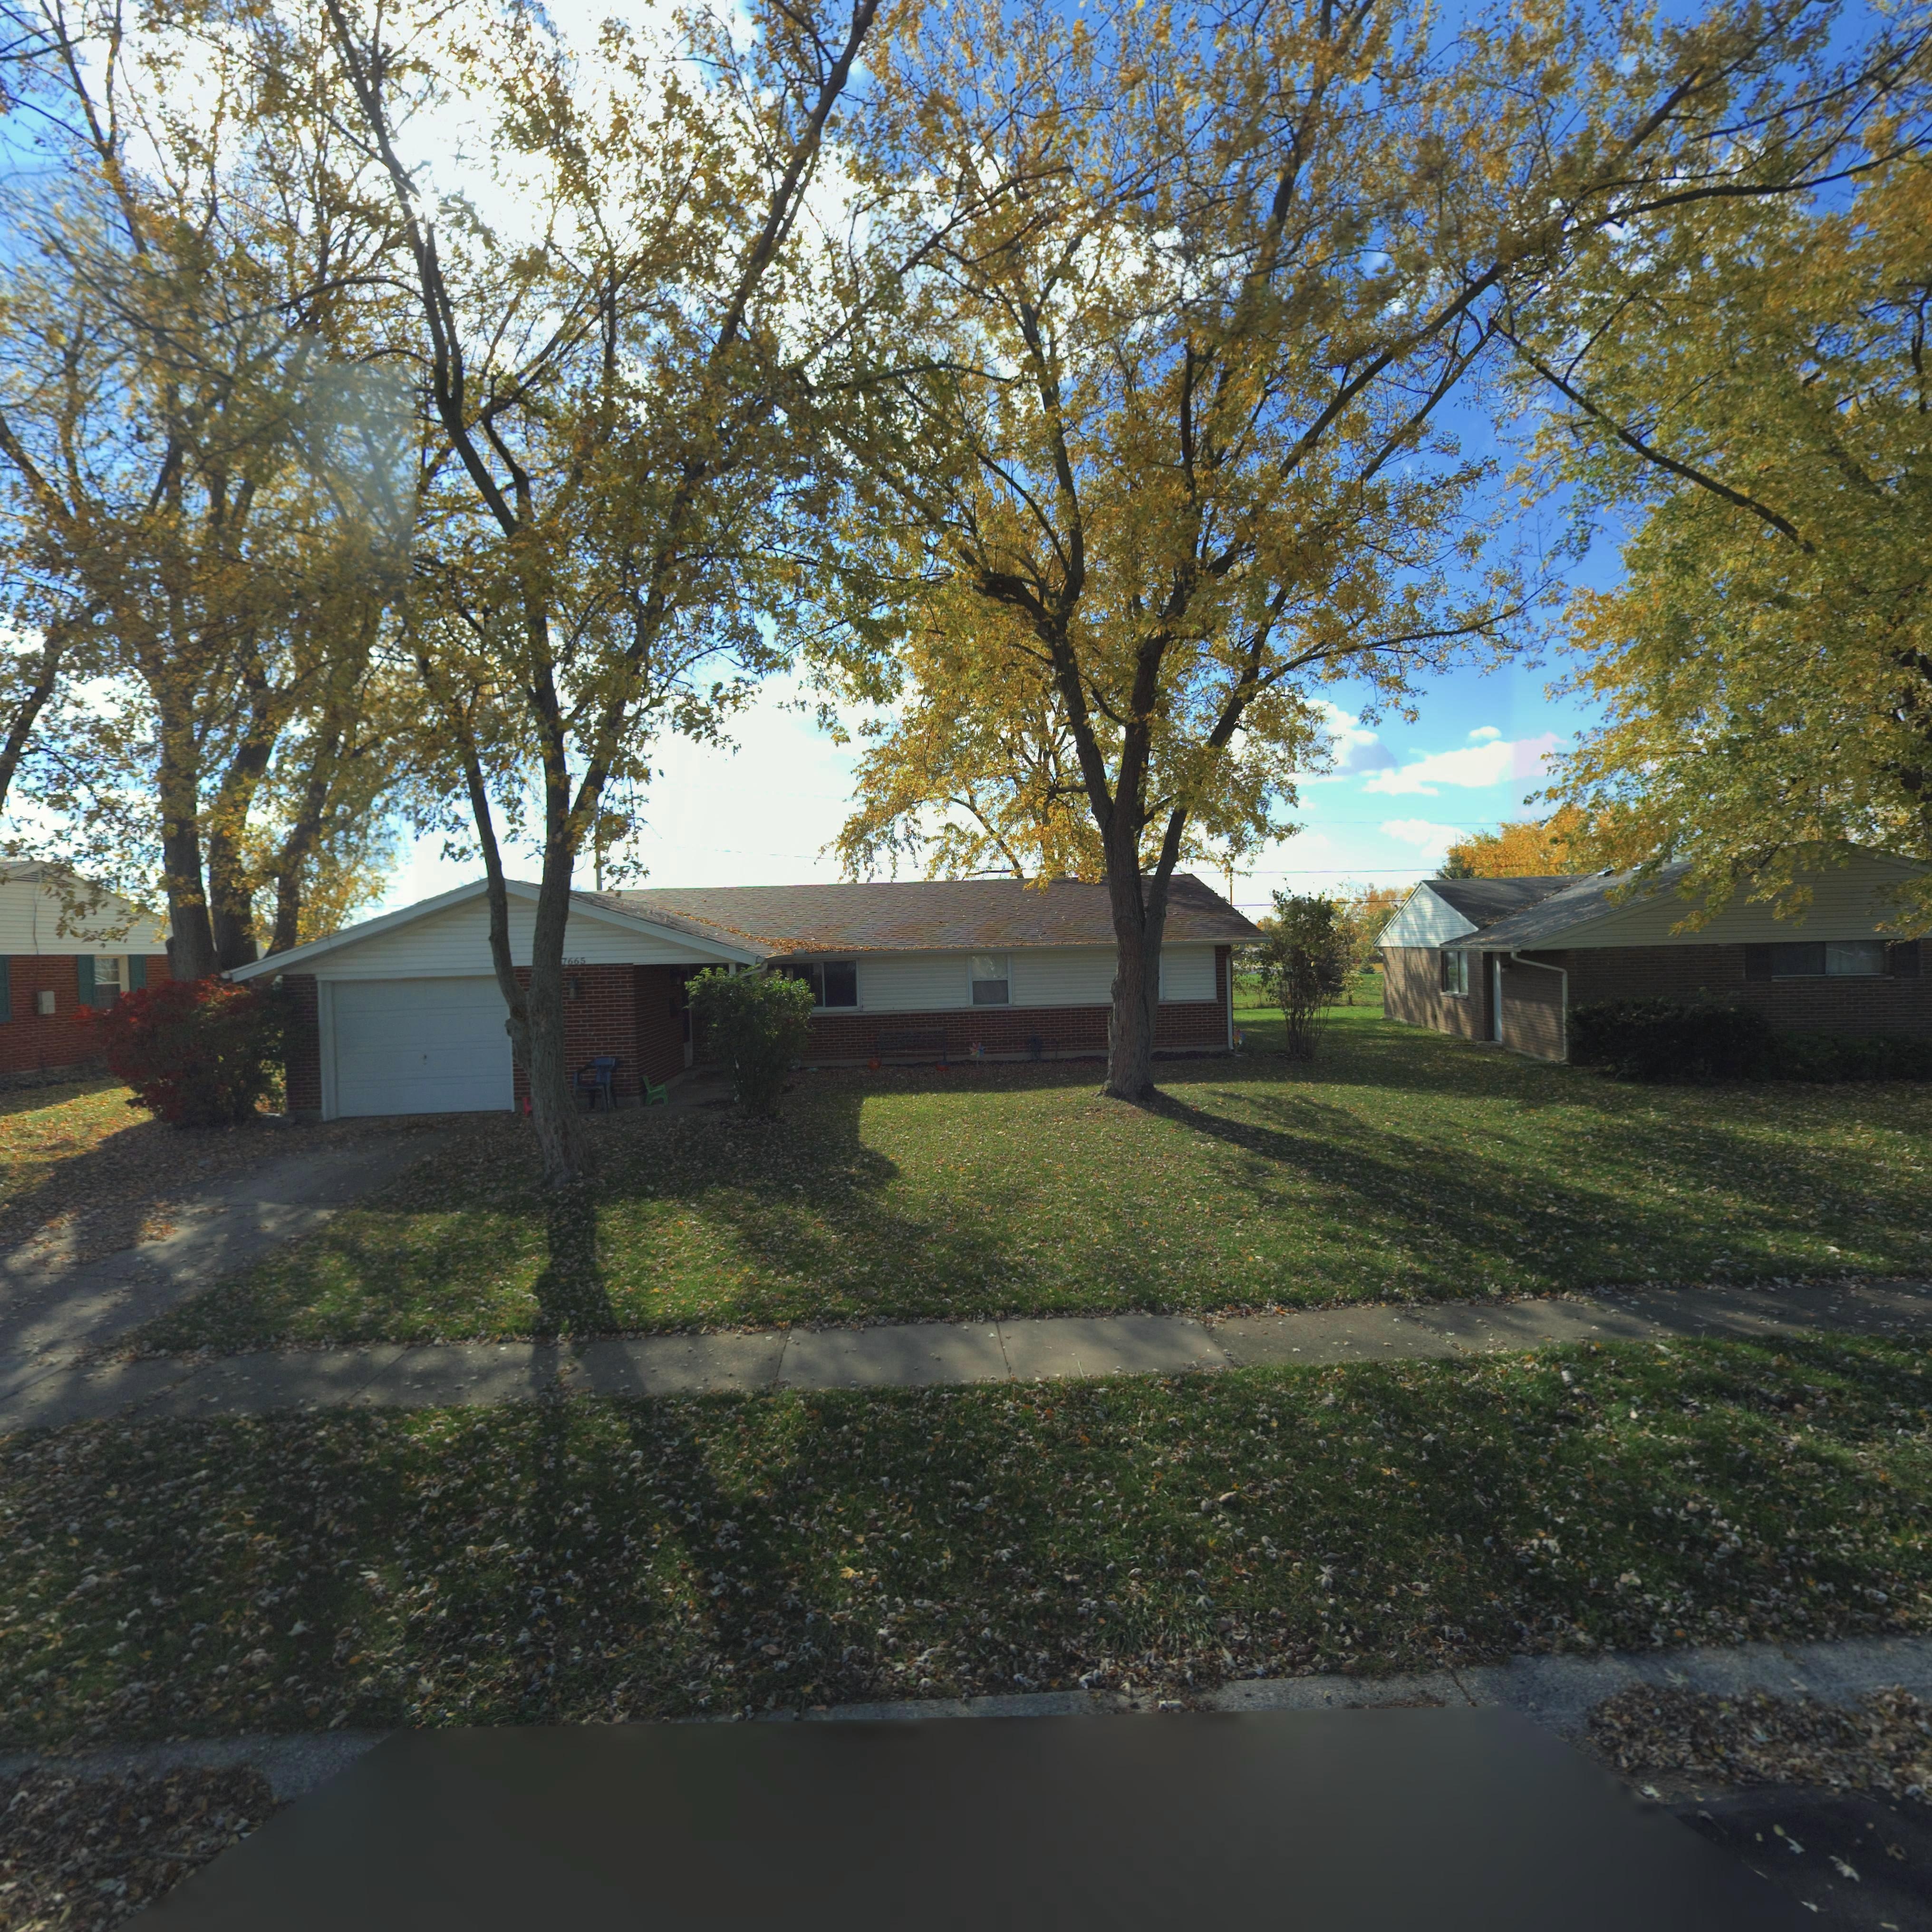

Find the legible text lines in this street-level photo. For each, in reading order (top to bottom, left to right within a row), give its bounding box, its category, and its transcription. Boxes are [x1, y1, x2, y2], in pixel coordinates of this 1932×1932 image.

[561, 957, 585, 965] StreetNumber: 7665